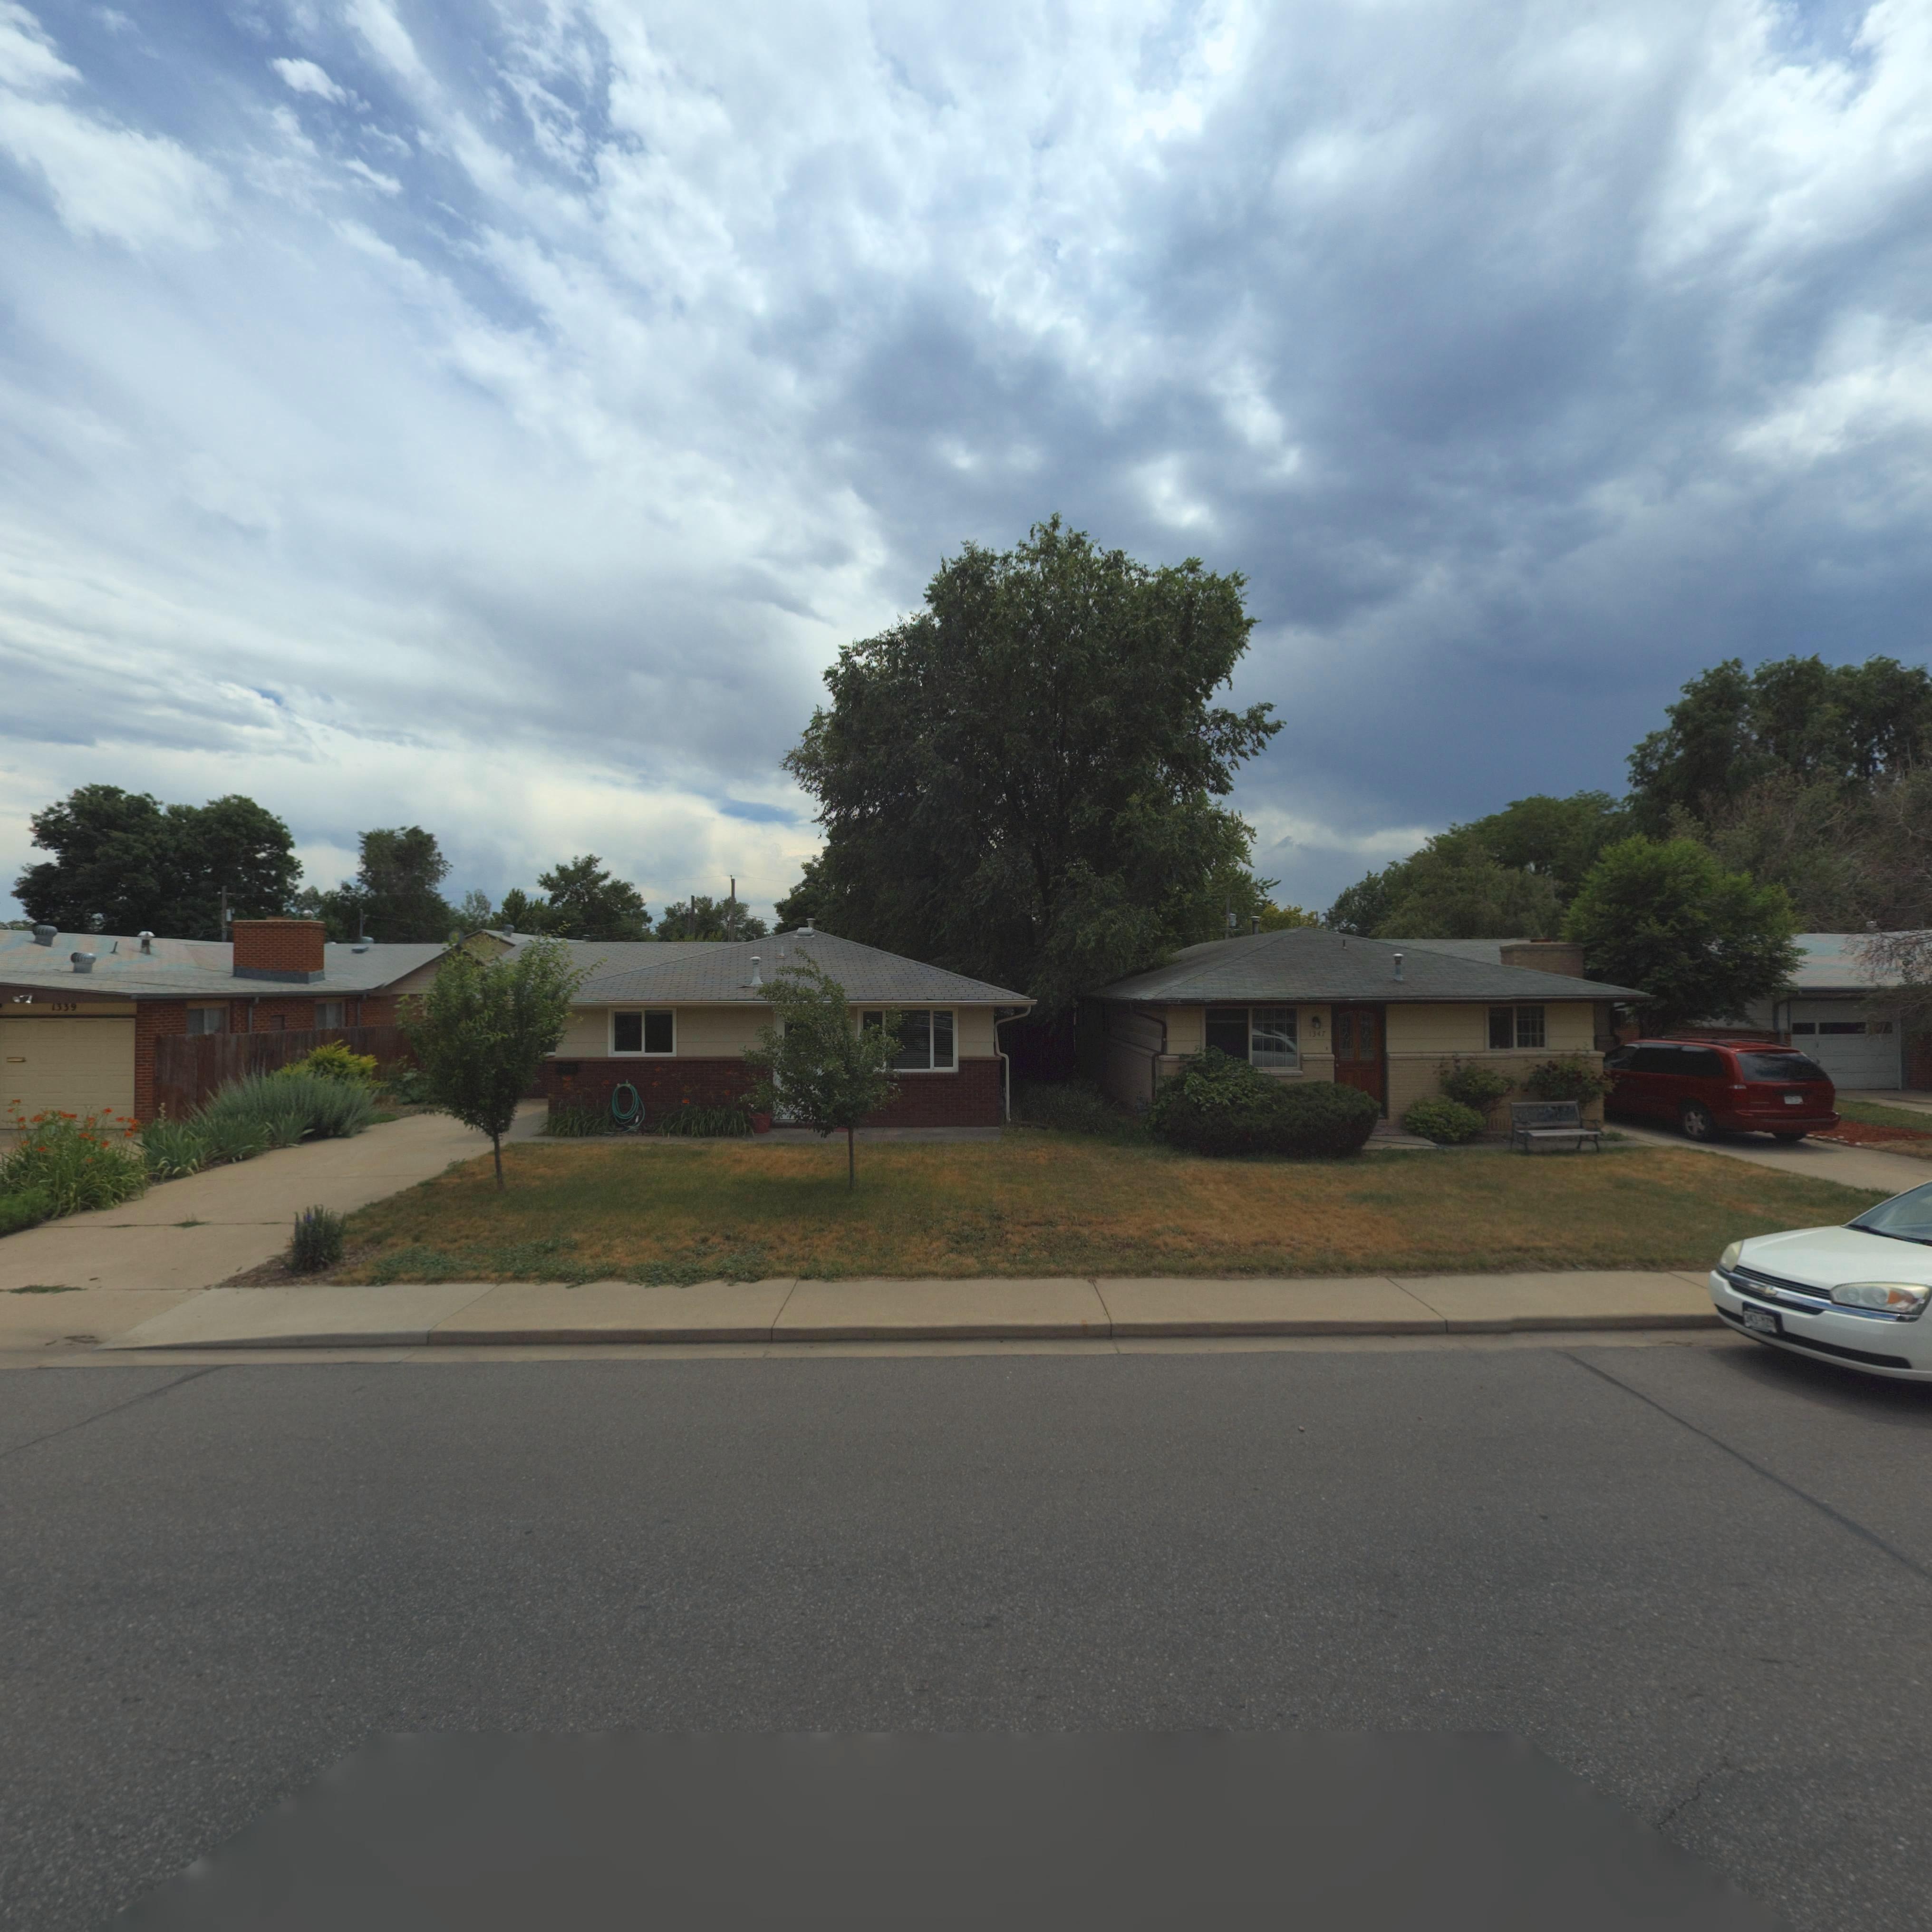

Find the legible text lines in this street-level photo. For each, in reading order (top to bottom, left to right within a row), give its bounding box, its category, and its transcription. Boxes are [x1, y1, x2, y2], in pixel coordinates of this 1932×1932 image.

[51, 1002, 76, 1011] StreetNumber: 1339
[1308, 1030, 1326, 1037] StreetNumber: 1347